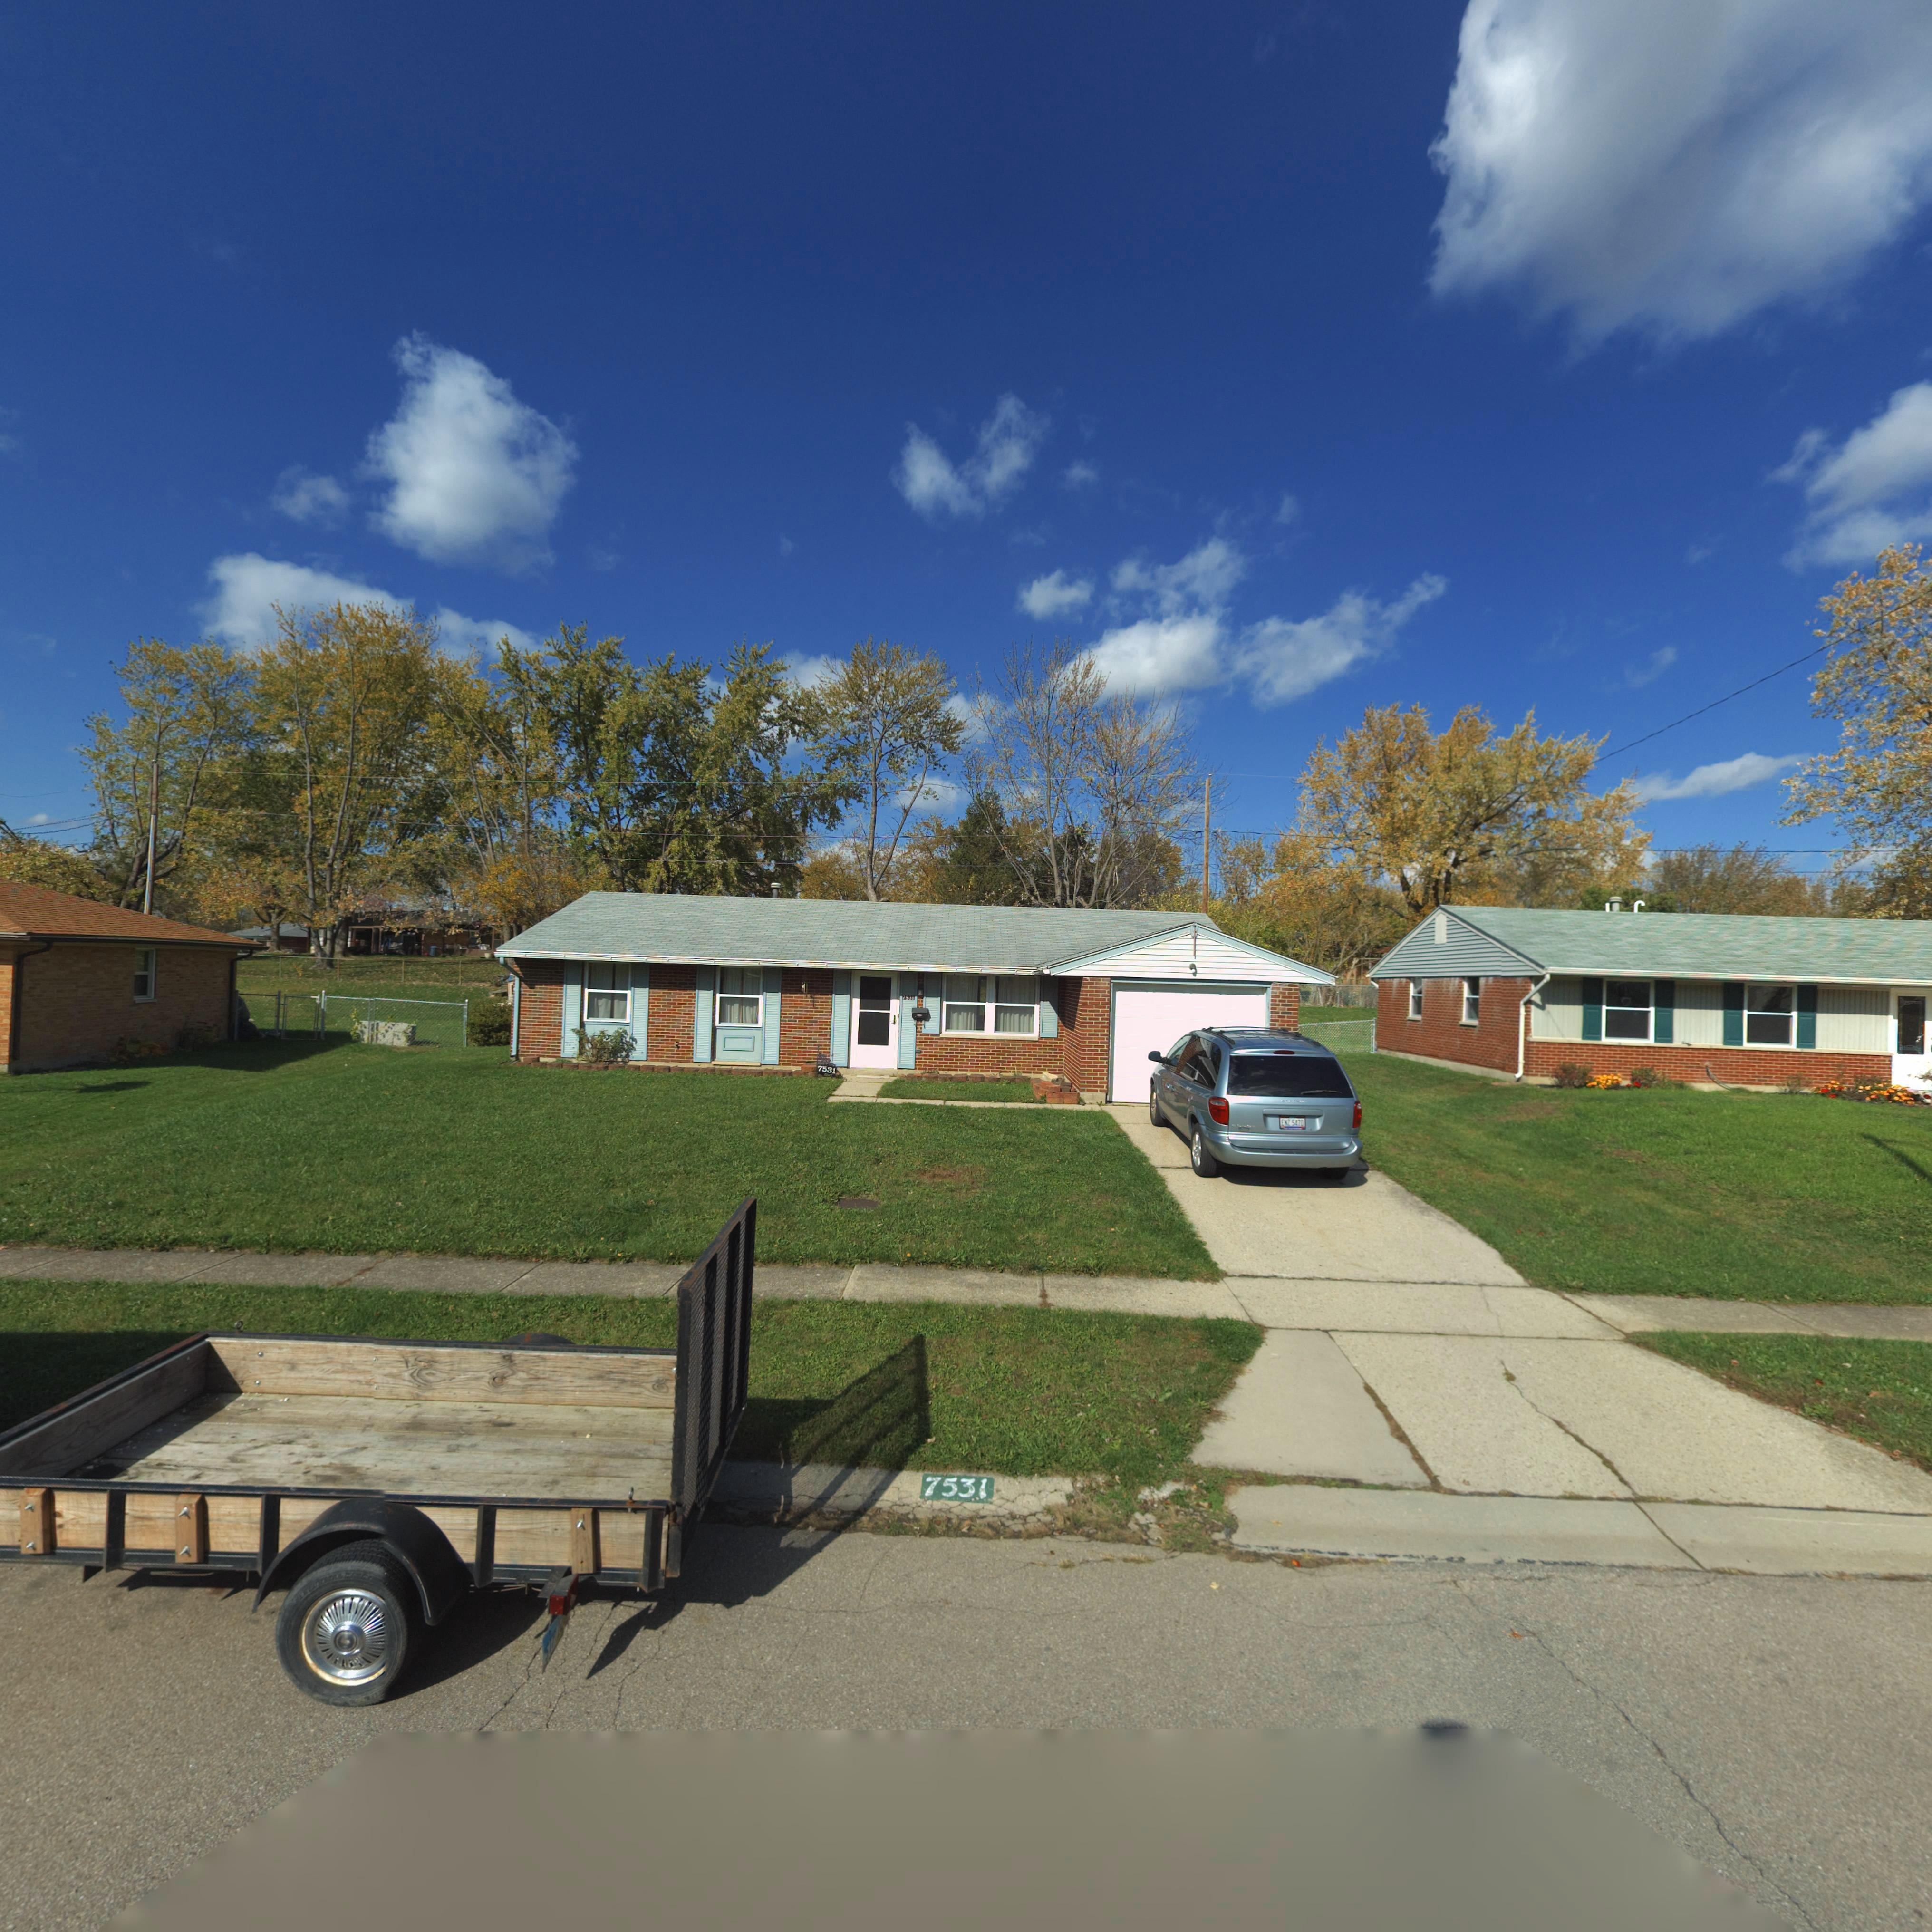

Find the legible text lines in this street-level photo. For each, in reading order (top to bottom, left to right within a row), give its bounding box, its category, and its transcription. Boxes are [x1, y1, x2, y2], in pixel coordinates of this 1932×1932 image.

[902, 995, 915, 1001] StreetNumber: 7531
[817, 1064, 837, 1075] StreetNumber: 7531
[924, 1476, 989, 1500] StreetNumber: 7531